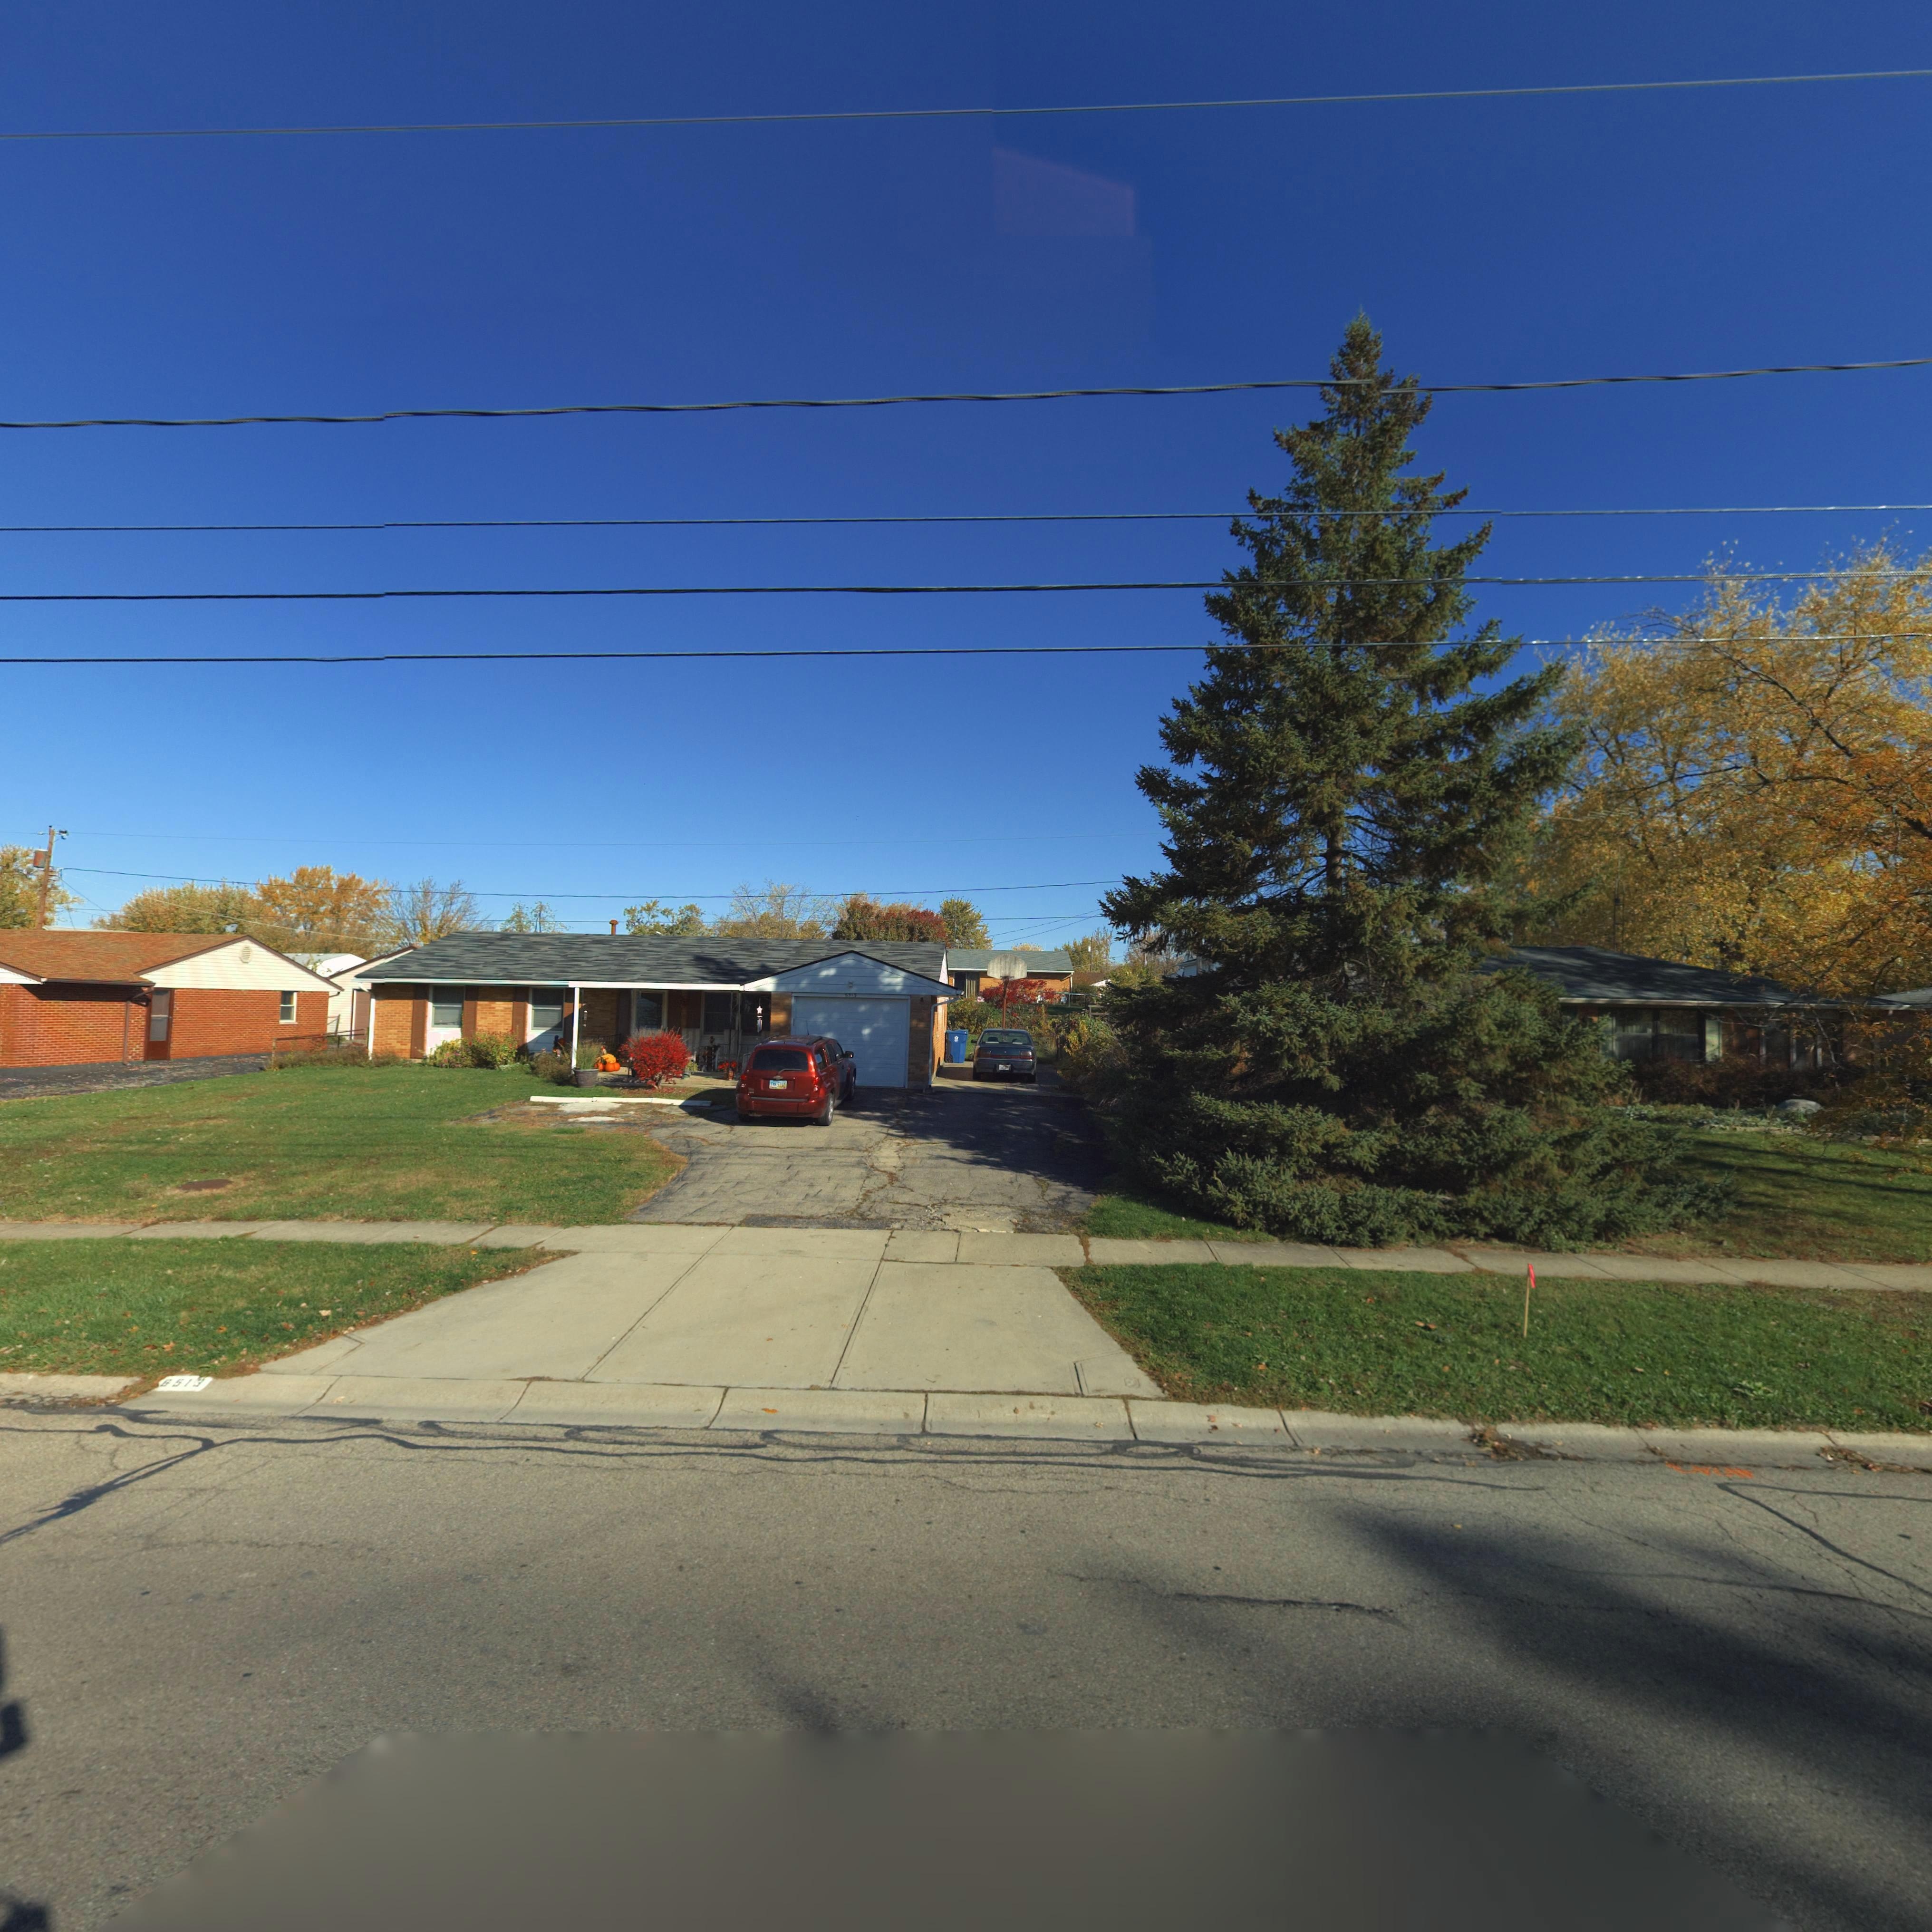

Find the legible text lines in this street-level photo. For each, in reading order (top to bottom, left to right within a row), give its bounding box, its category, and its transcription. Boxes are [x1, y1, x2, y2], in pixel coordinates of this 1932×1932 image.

[844, 993, 858, 998] StreetNumber: 6513
[158, 1376, 207, 1388] StreetNumber: 6513